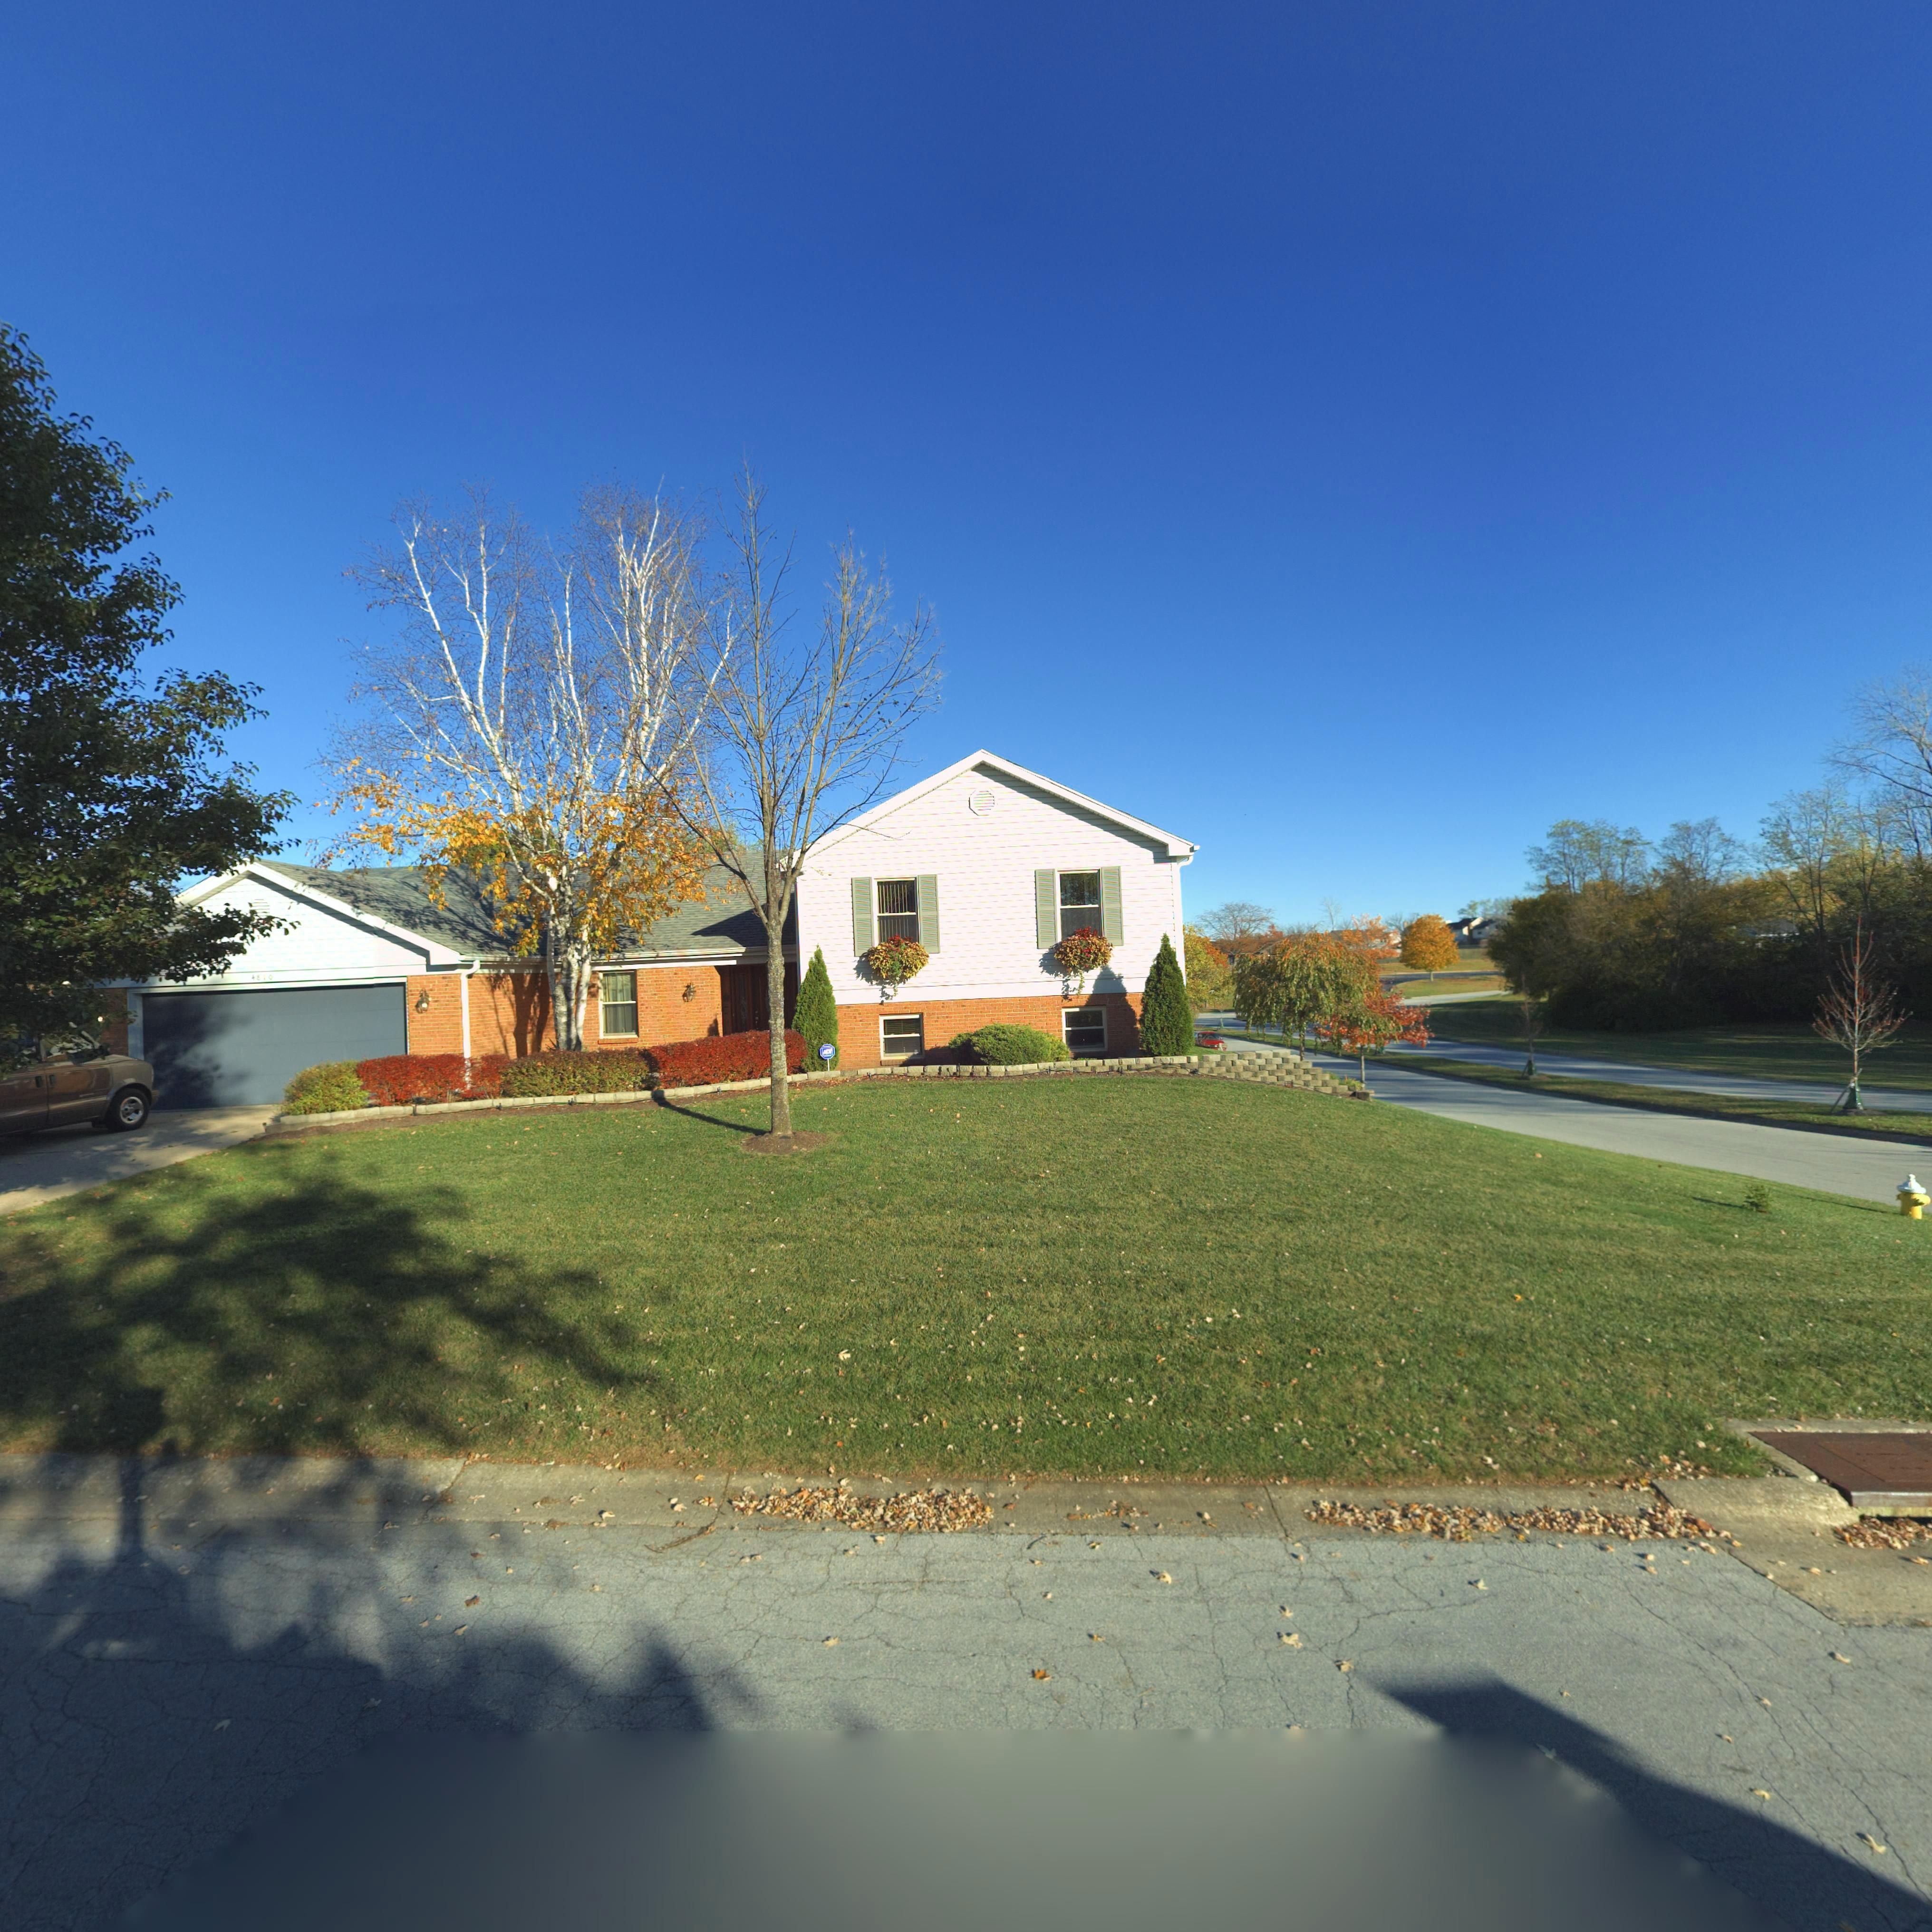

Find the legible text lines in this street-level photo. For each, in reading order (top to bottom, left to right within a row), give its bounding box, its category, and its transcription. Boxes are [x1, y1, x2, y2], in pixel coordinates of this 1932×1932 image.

[250, 973, 273, 982] StreetNumber: 48*0